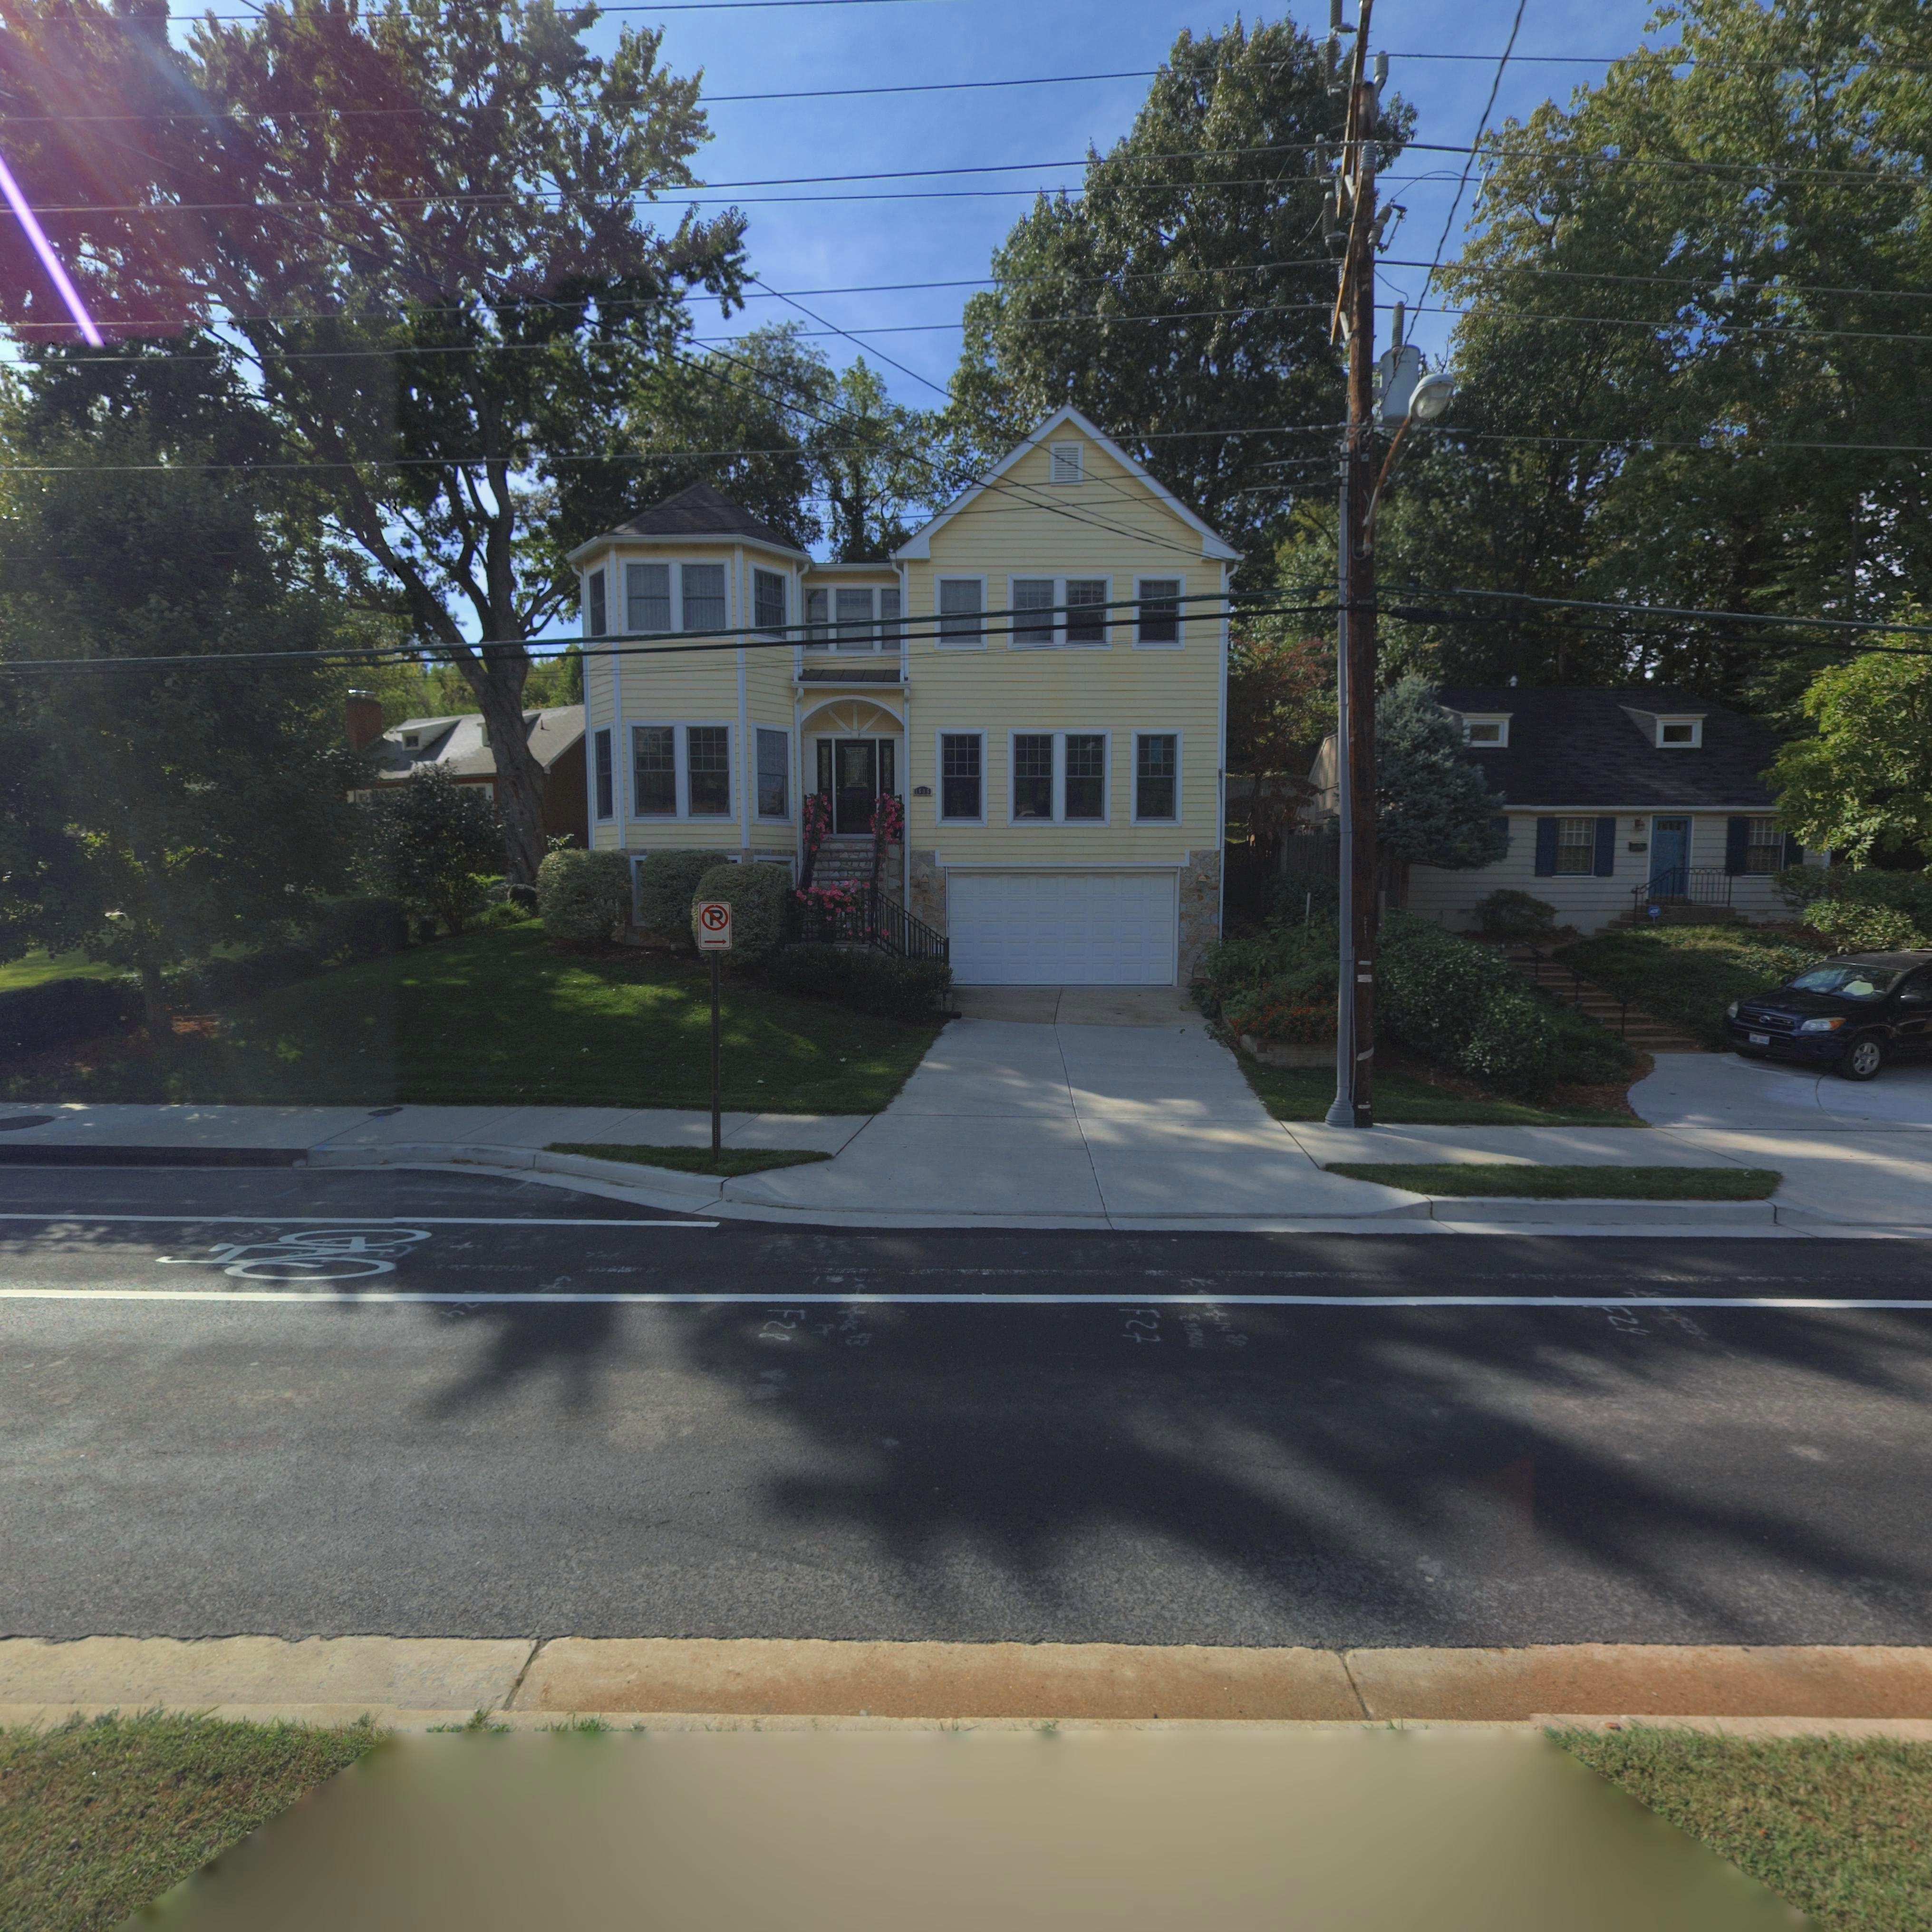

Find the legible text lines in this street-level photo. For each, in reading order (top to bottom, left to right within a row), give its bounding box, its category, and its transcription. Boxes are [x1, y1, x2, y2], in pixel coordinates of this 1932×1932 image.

[915, 788, 930, 795] StreetNumber: 1606